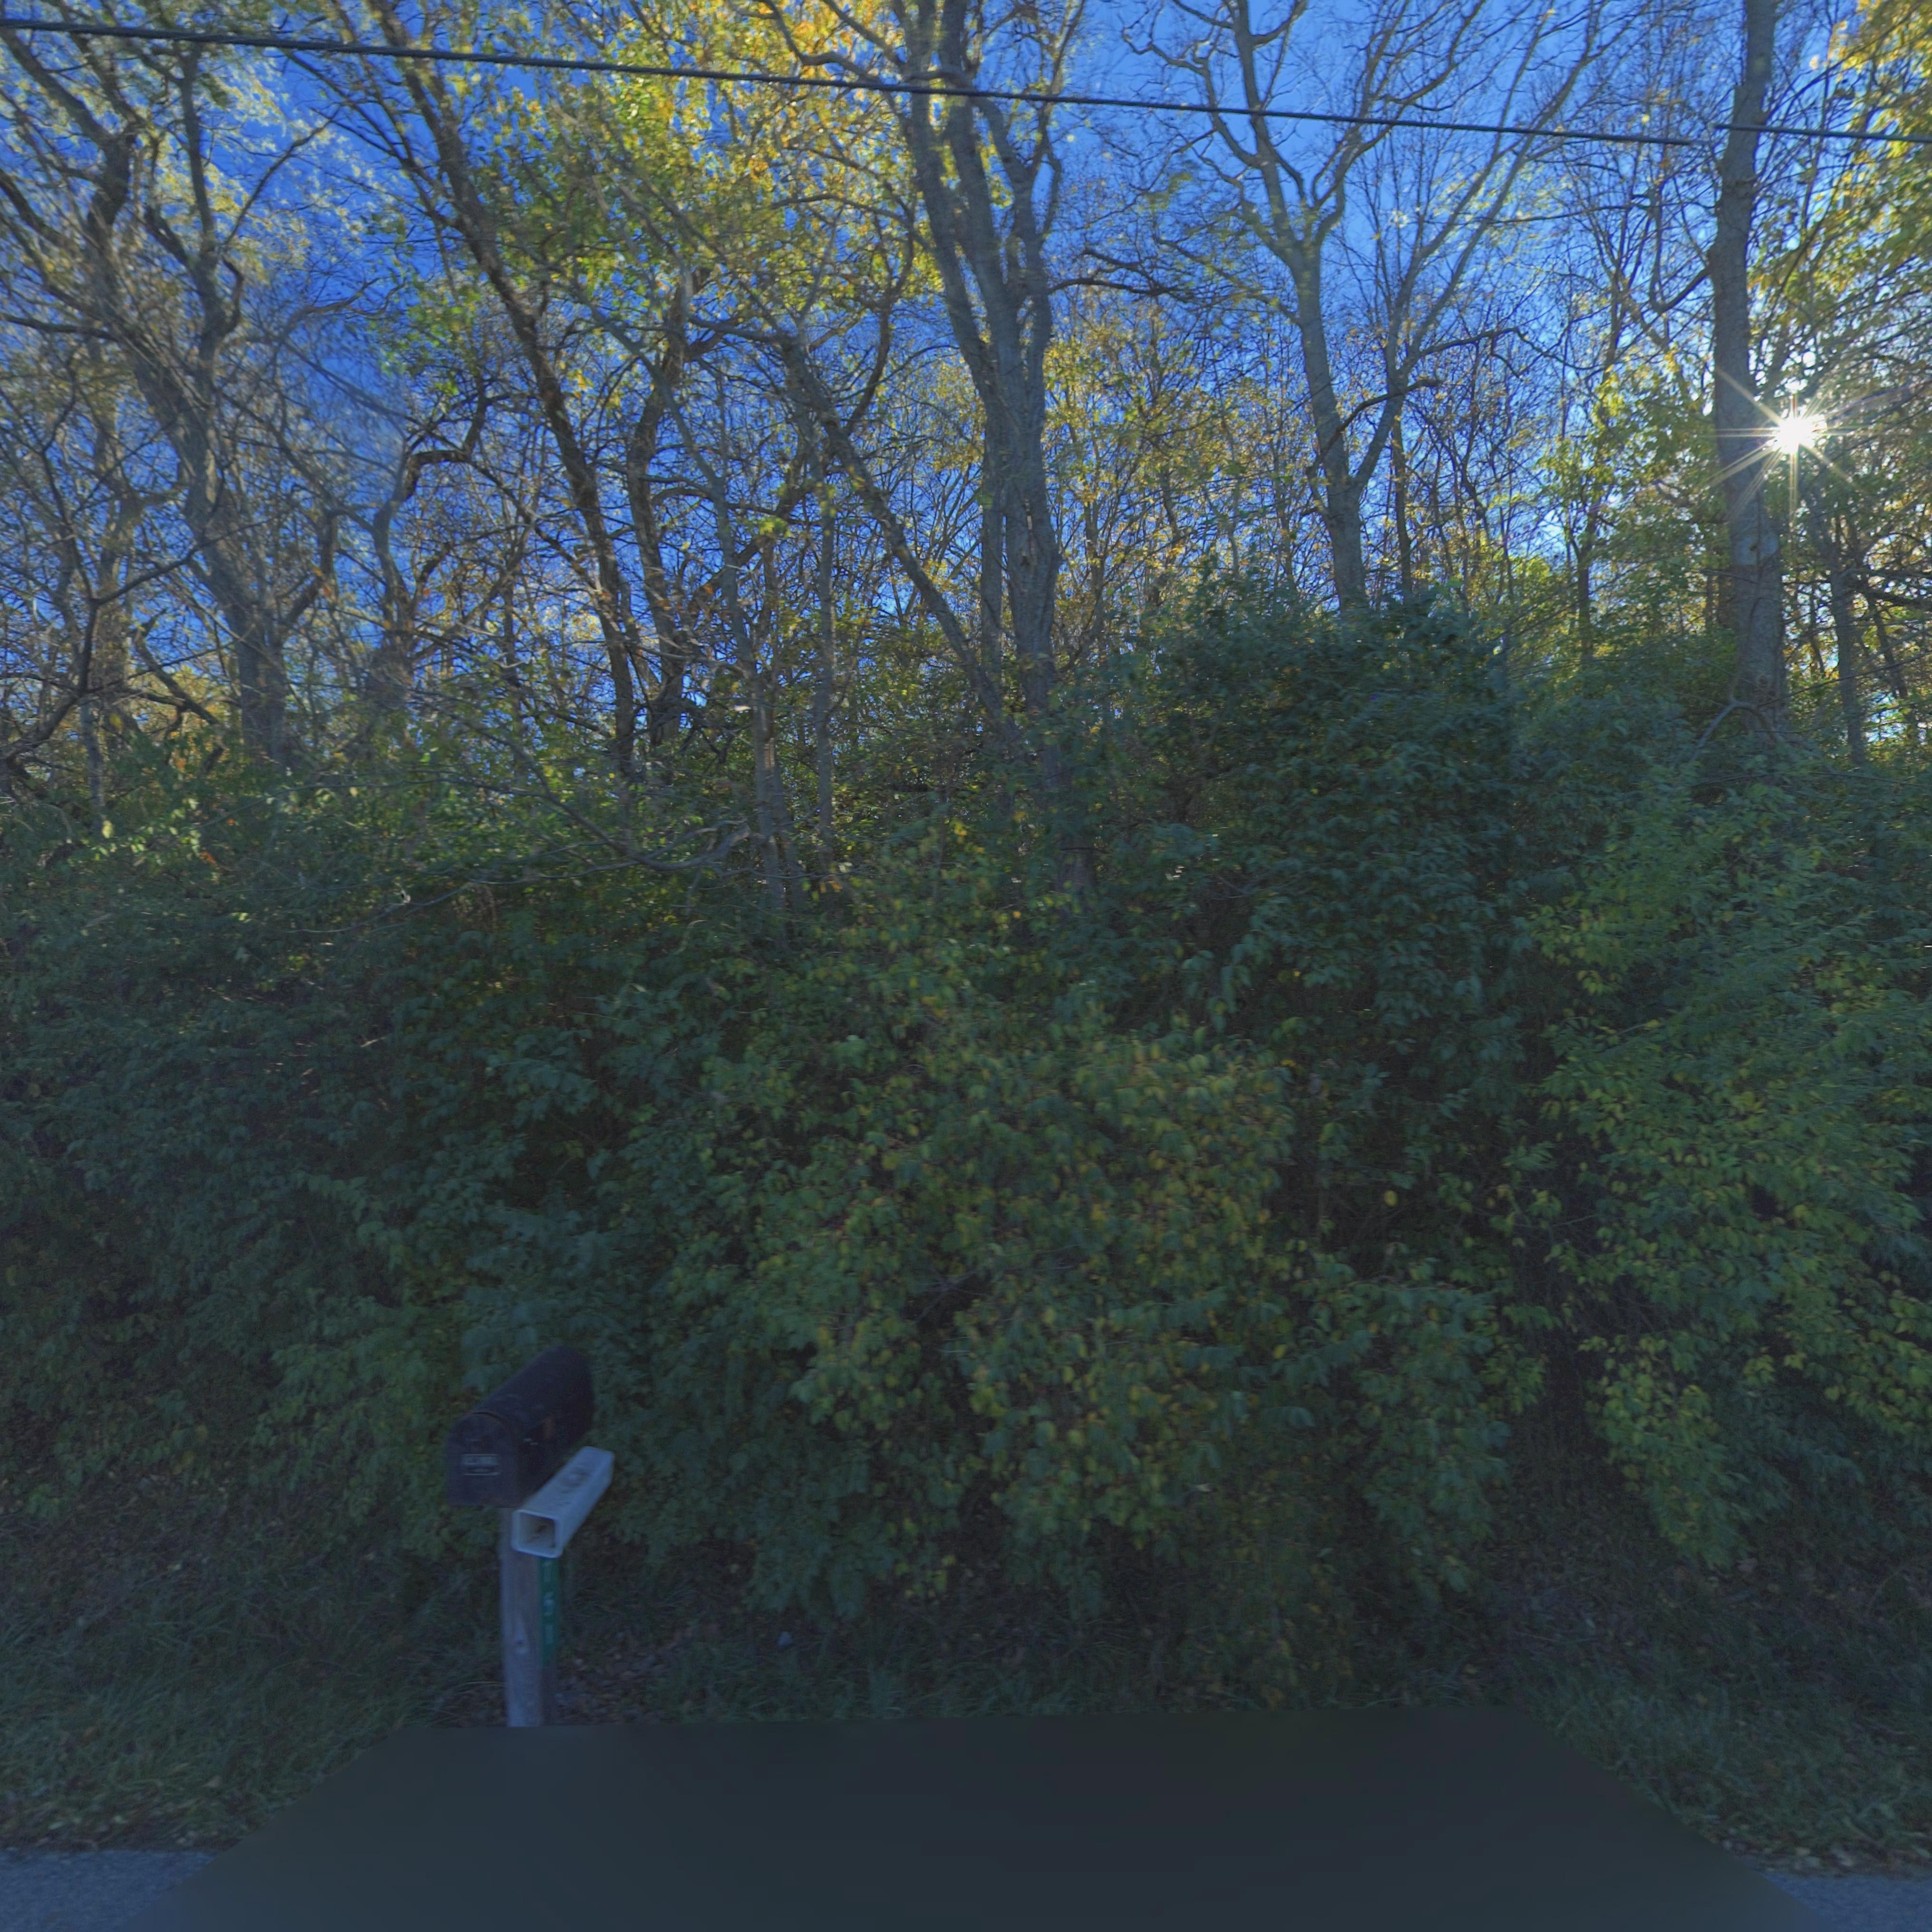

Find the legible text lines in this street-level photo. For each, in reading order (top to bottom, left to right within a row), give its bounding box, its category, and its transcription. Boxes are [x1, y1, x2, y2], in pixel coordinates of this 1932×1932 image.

[541, 1558, 556, 1647] StreetNumber: 751